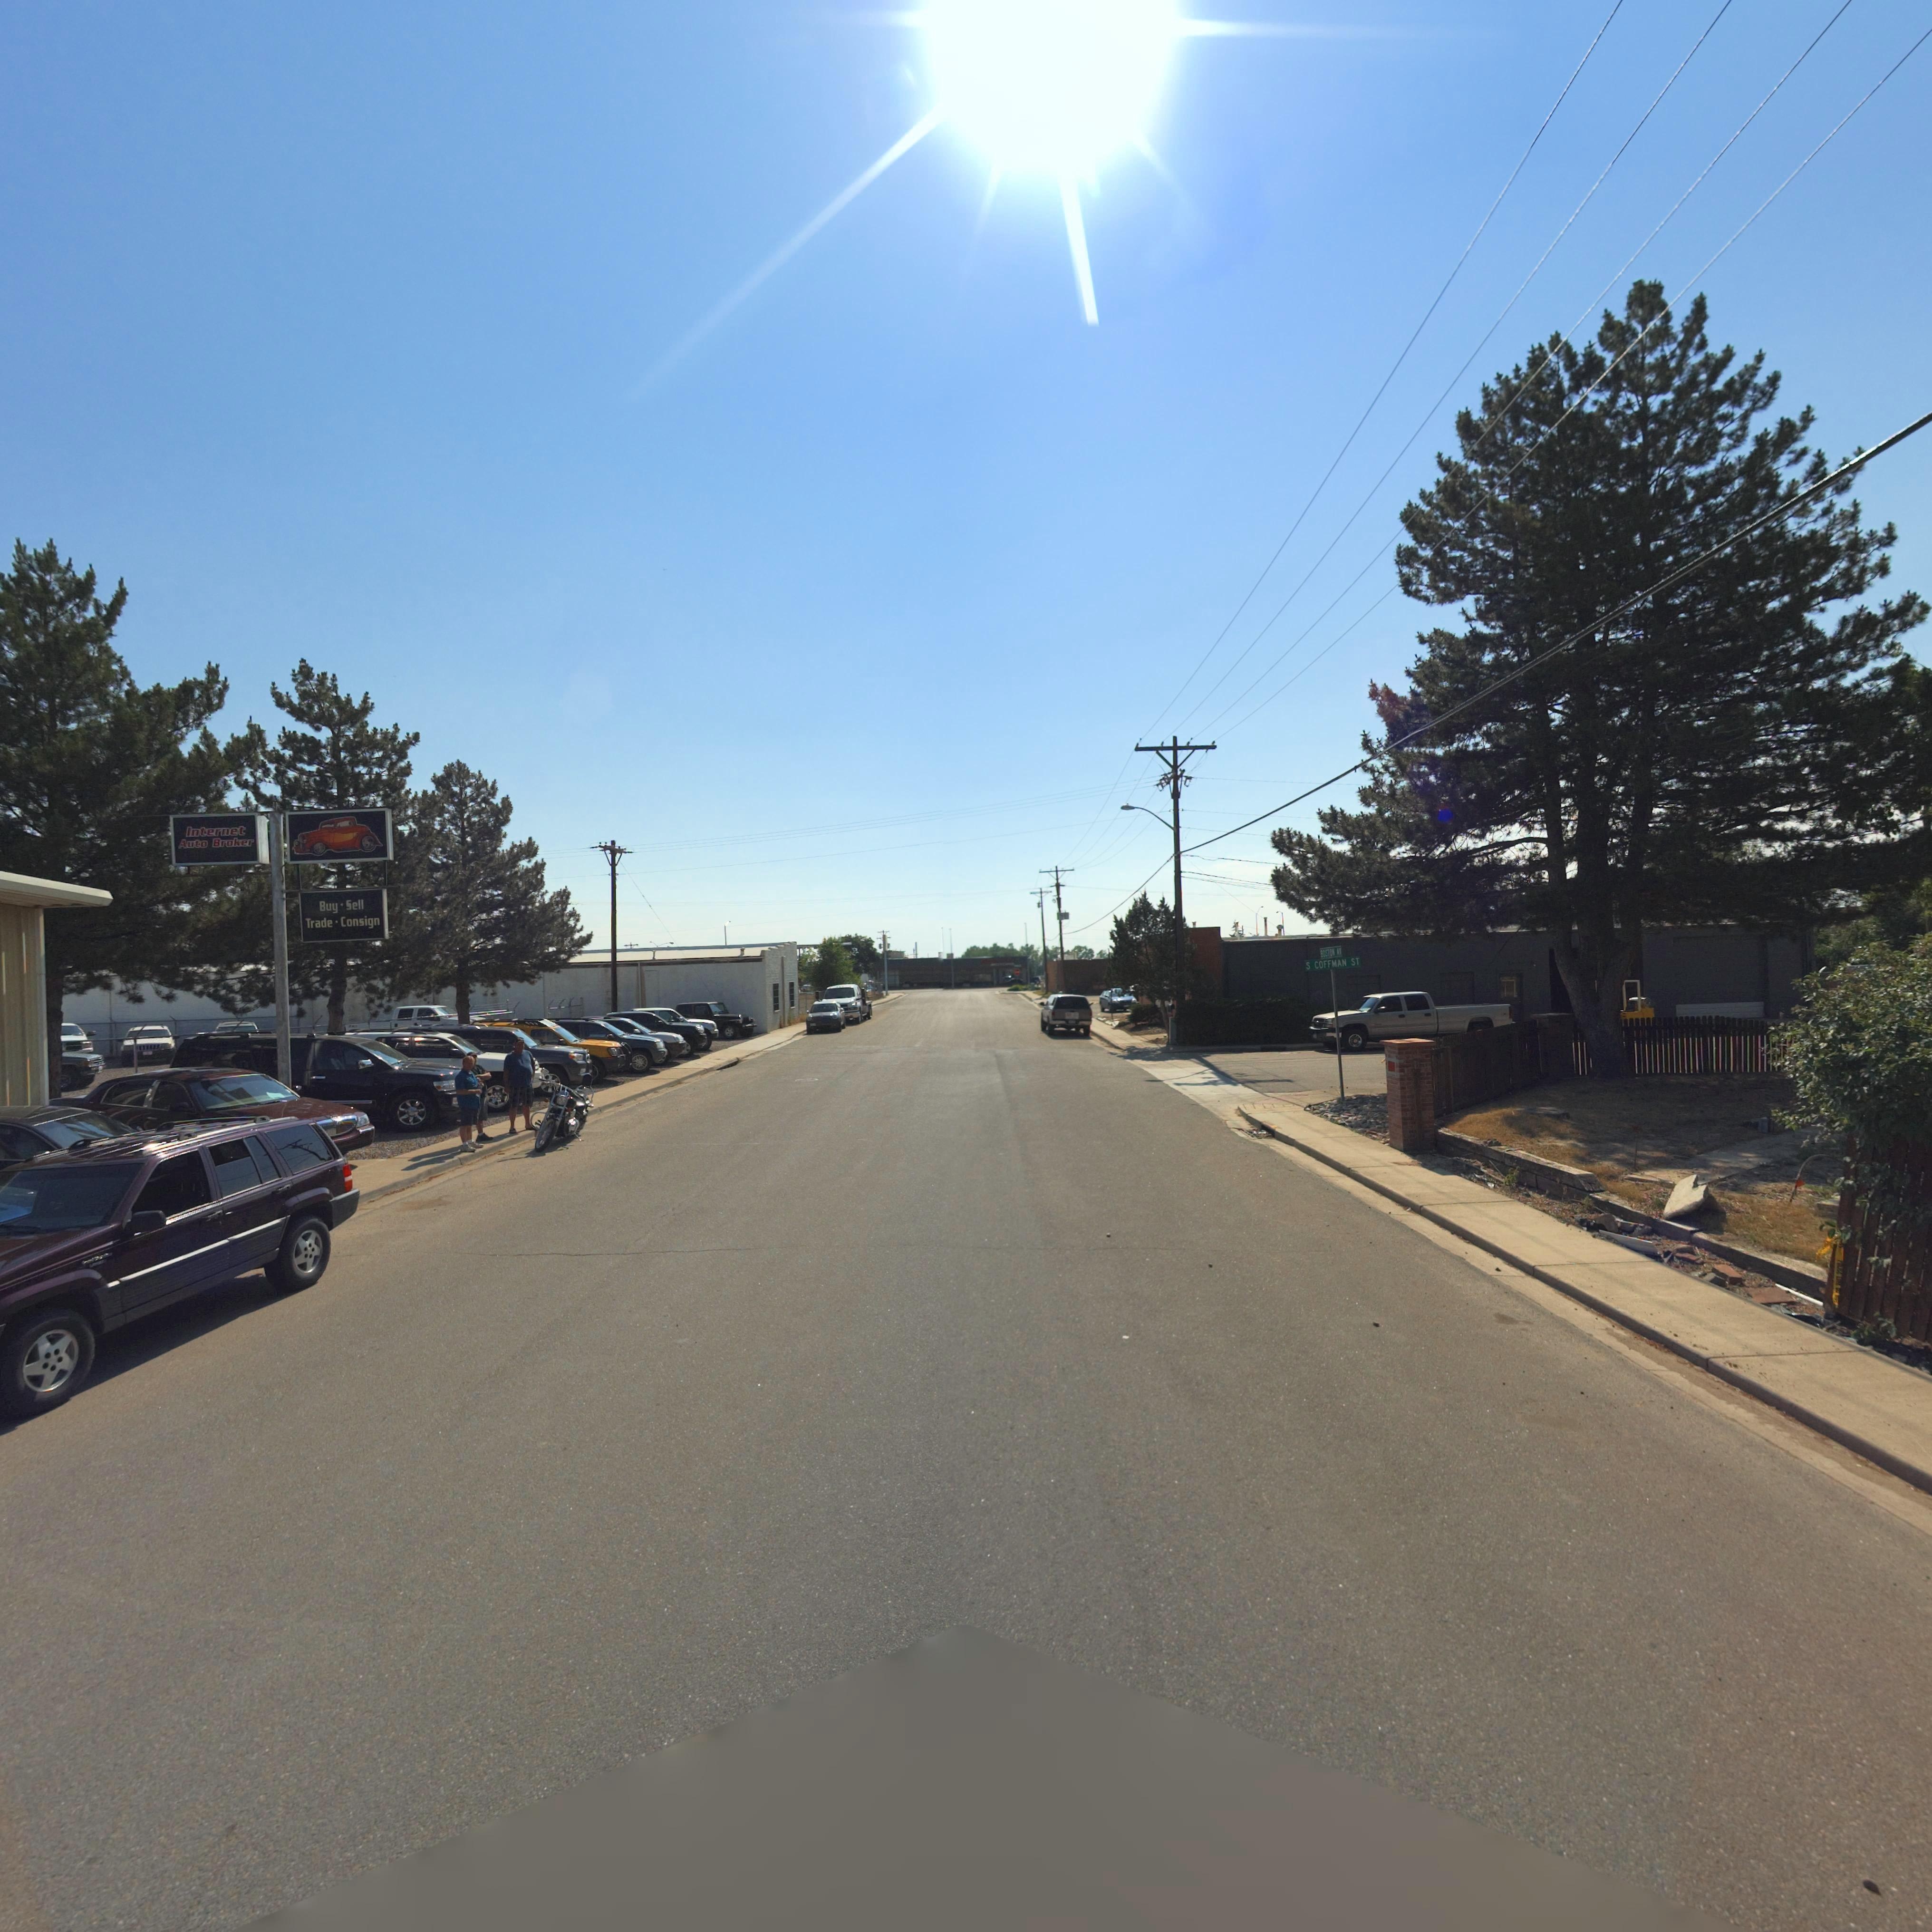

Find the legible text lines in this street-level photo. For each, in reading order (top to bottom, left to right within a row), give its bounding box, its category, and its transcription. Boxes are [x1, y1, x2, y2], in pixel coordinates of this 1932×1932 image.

[185, 825, 246, 837] BusinessName: Internet
[177, 838, 255, 849] BusinessName: Auto Broker
[1320, 947, 1342, 957] StreetName: BOSTON AV
[1304, 957, 1360, 970] StreetName: S COFFMAN ST